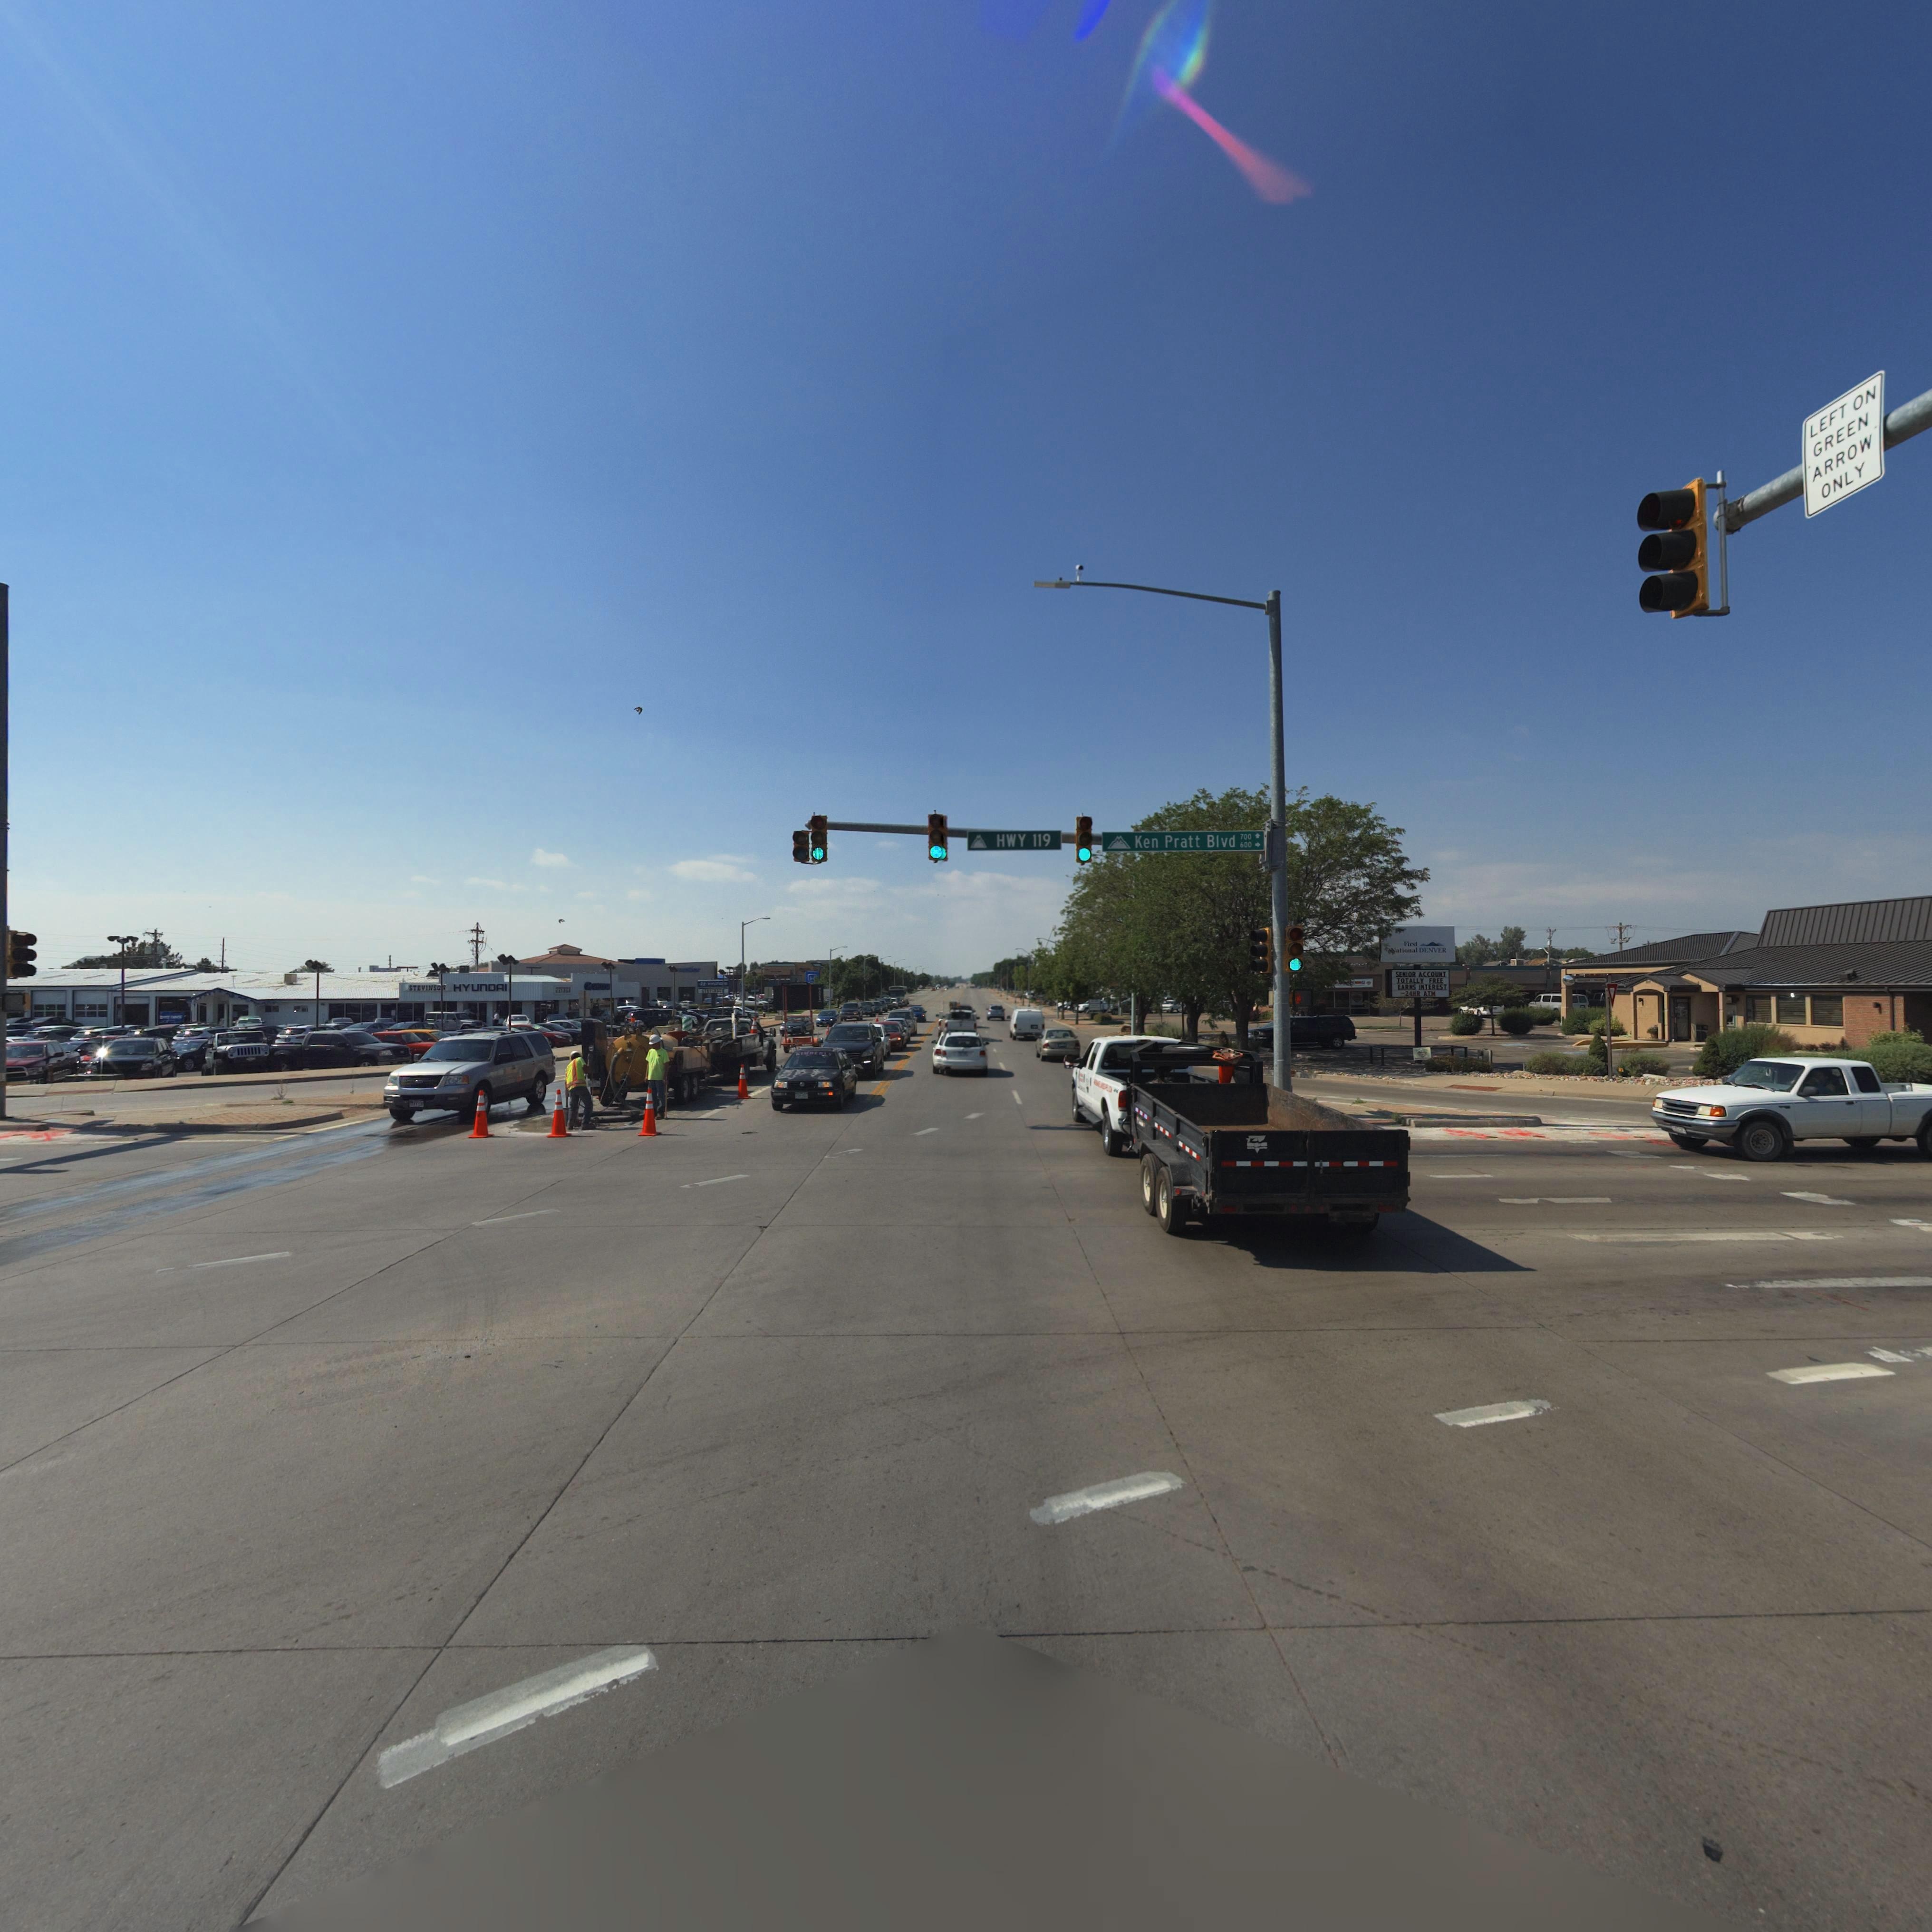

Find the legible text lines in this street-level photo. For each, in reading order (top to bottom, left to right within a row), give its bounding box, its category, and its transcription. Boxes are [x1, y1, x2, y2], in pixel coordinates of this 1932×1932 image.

[1239, 833, 1252, 840] StreetNumberRange: 700
[996, 832, 1052, 848] StreetName: HWY 119
[1134, 834, 1235, 849] StreetName: Ken Pratt Blvd
[1239, 841, 1261, 848] StreetNumberRange: 600->
[1403, 941, 1417, 947] BusinessName: First
[1391, 947, 1447, 953] BusinessName: National DENVER
[707, 982, 728, 985] BusinessName: HYUND*I
[409, 985, 445, 991] BusinessName: STEVINSO*
[453, 983, 507, 992] BusinessName: HYUnDAI
[701, 988, 724, 993] BusinessName: *T*VIN*O*